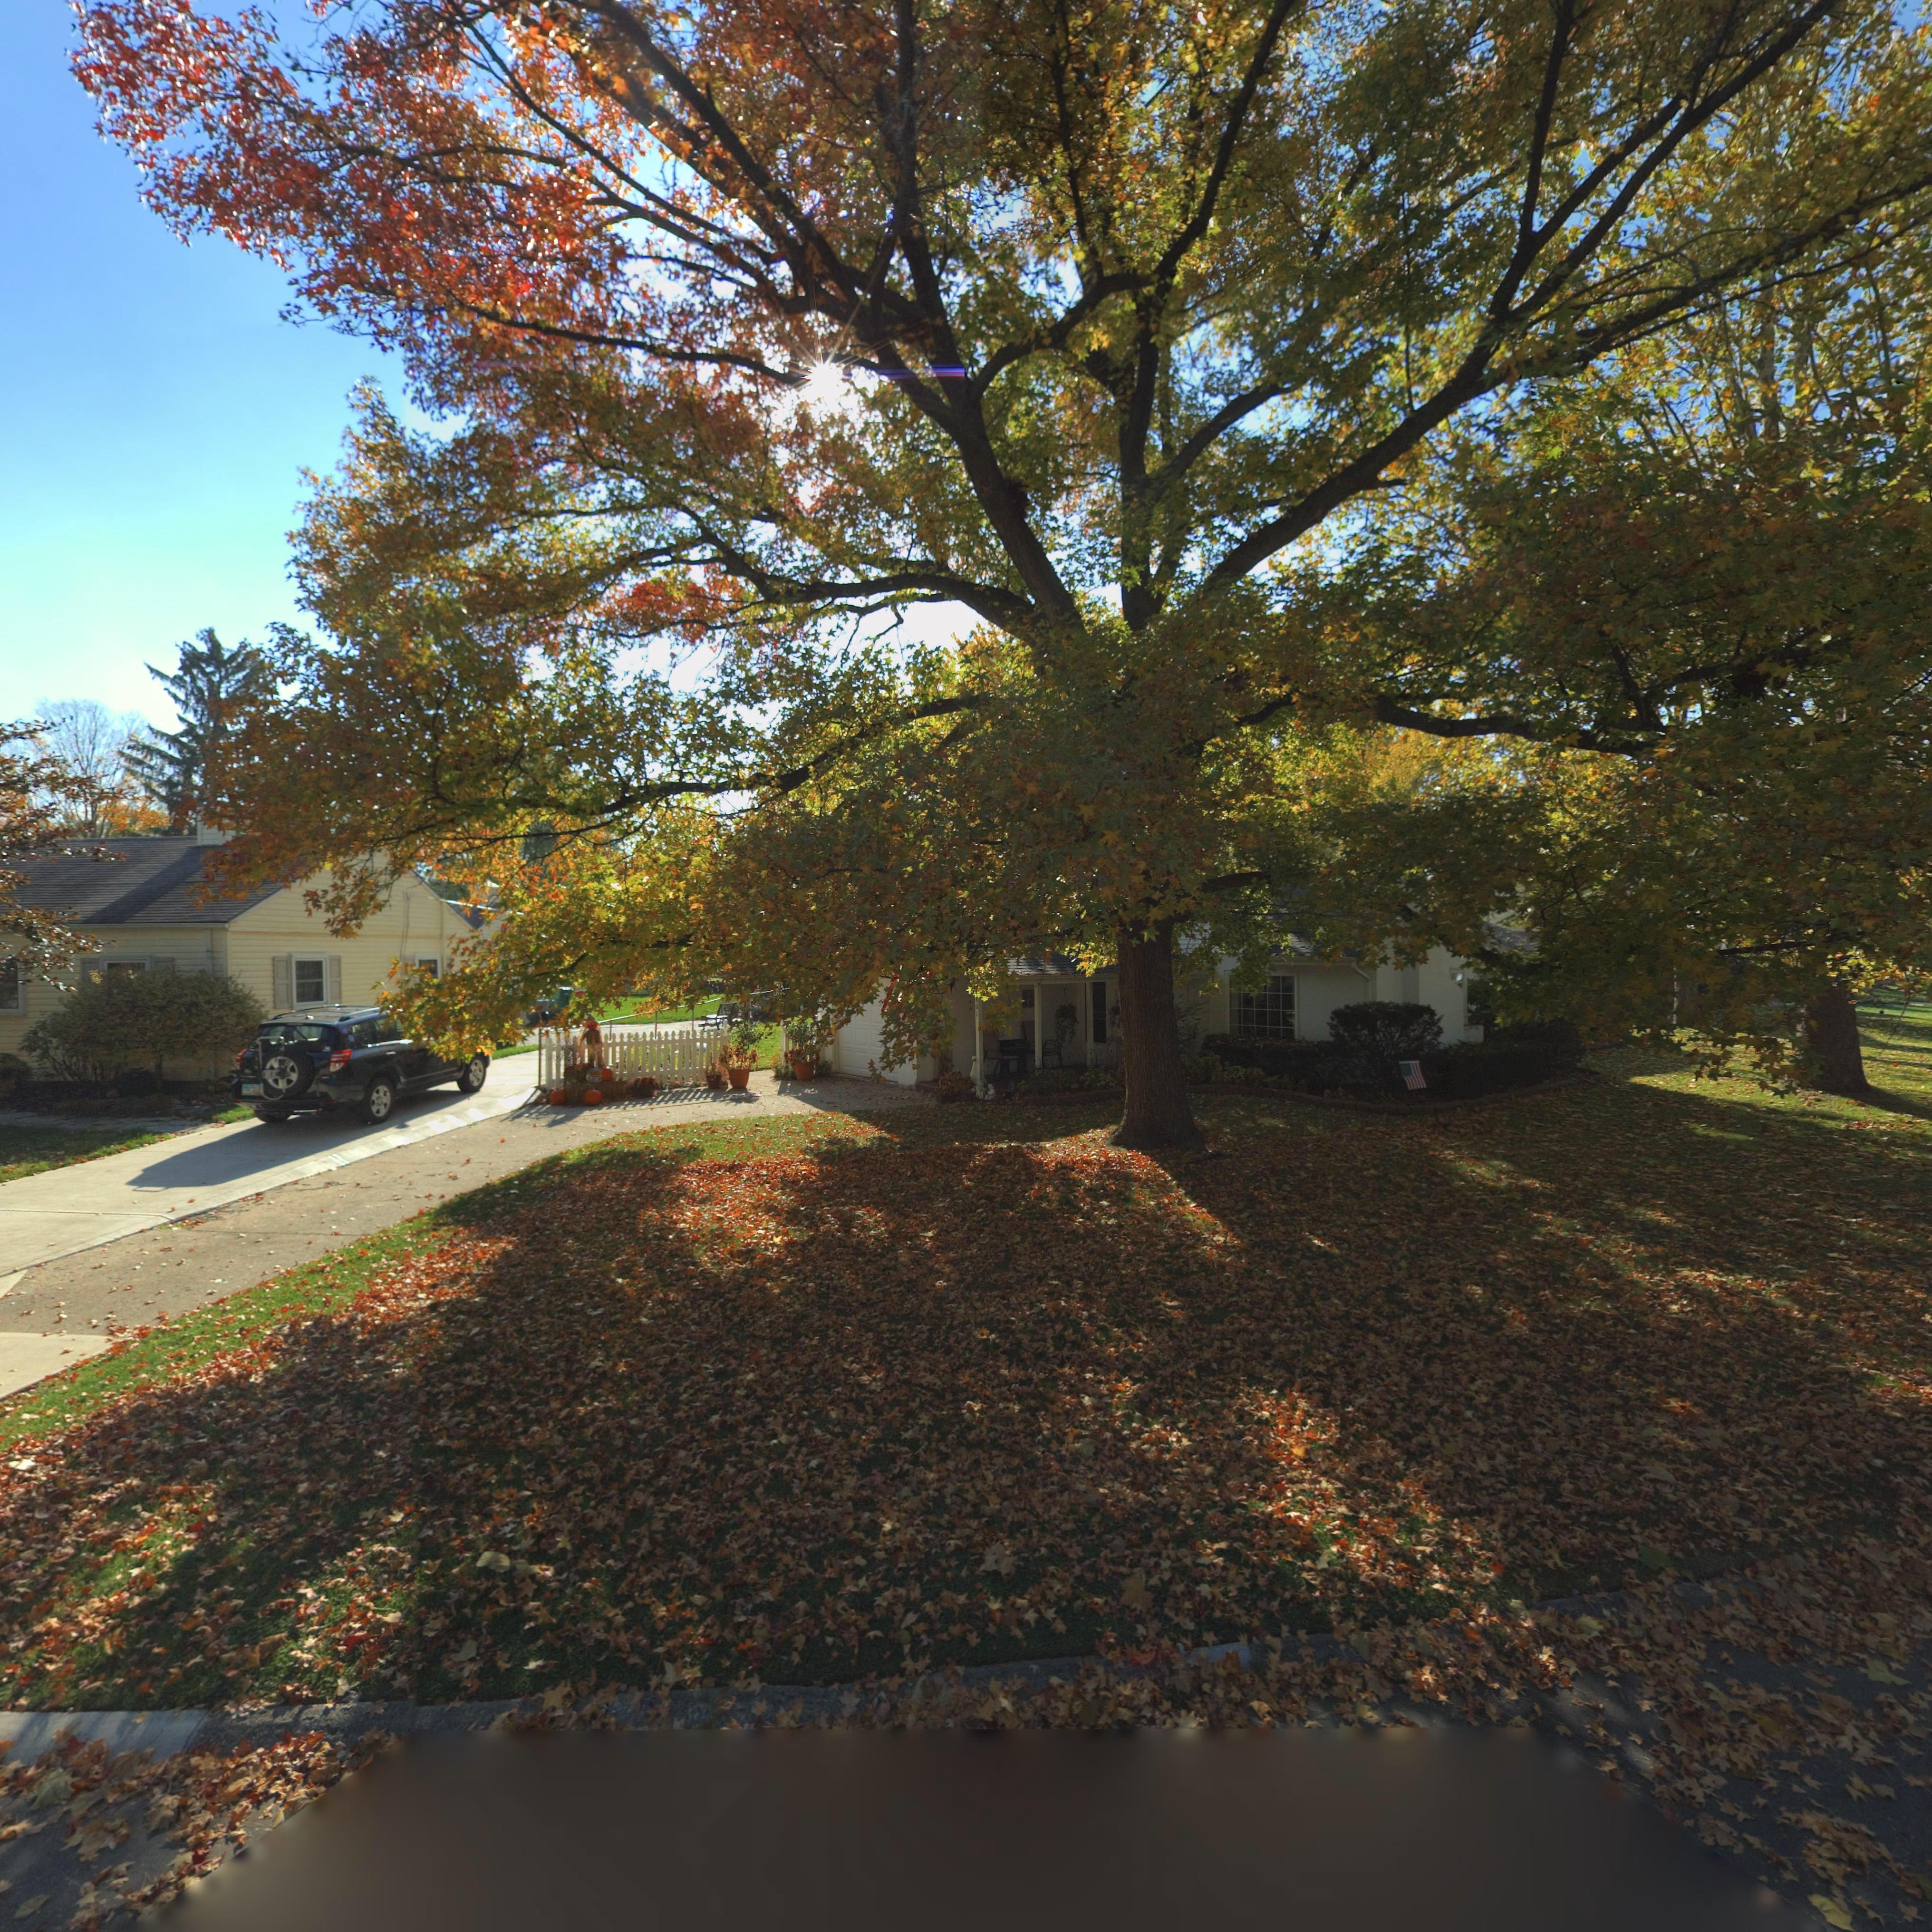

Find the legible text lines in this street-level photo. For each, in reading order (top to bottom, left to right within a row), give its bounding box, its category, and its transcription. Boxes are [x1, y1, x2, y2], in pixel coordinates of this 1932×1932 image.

[975, 996, 979, 1017] StreetNumber: *01